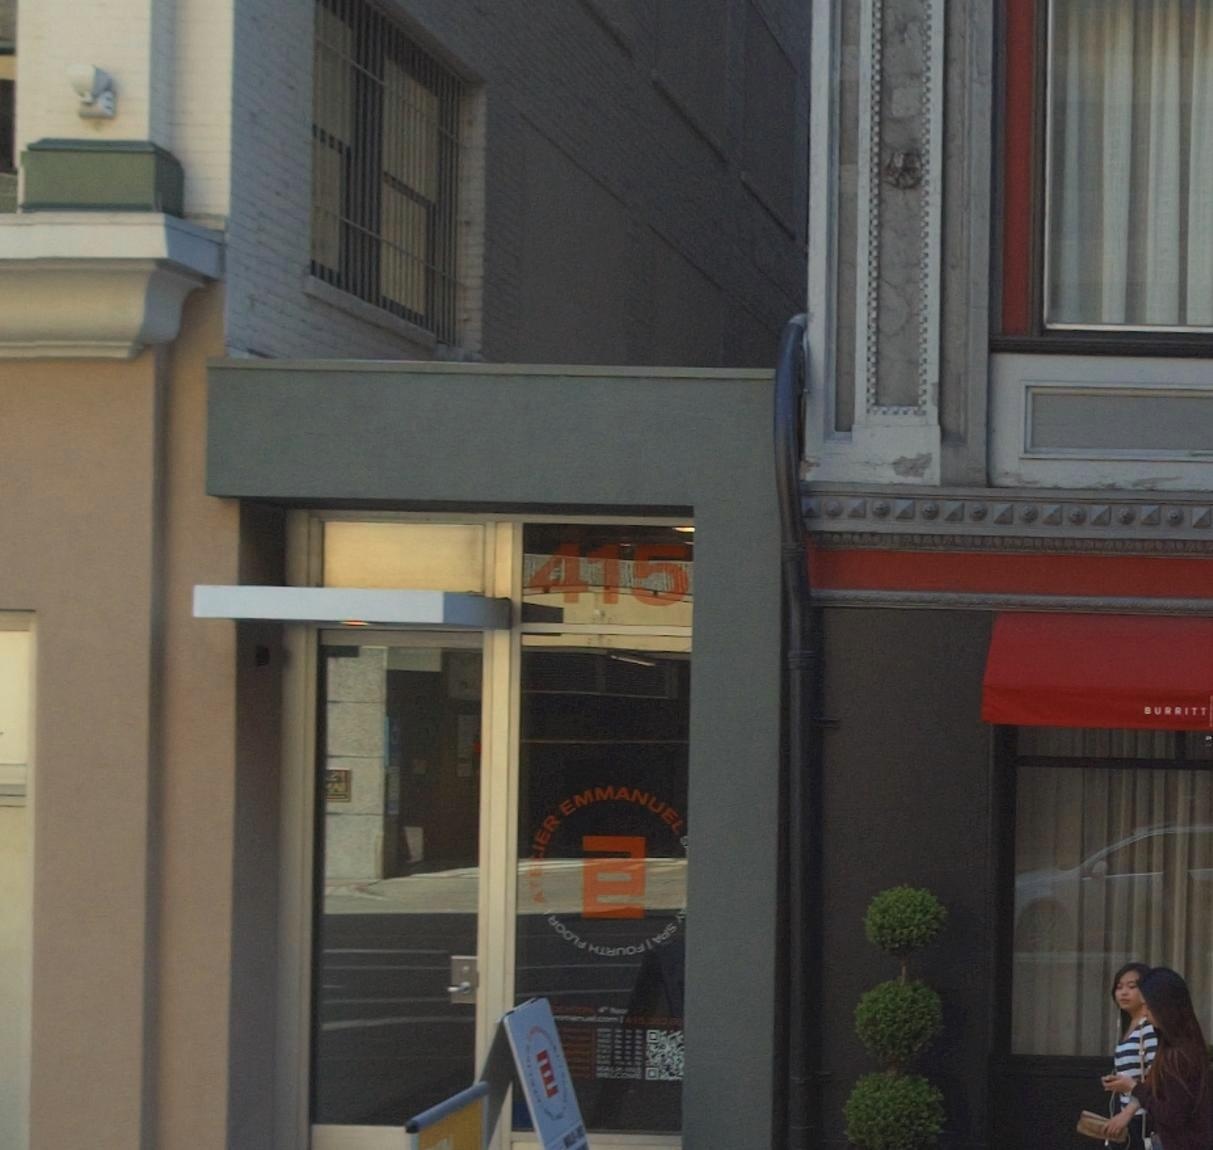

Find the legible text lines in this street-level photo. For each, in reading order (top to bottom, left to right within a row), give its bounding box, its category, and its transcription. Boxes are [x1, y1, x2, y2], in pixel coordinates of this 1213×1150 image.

[524, 540, 692, 606] StreetNumber: 415
[1141, 704, 1207, 718] None: BURRITT
[525, 781, 687, 908] BusinessName: A*ELIER EMMANUEL
[542, 909, 688, 959] None: Y SPA I FOURTH FLOOR